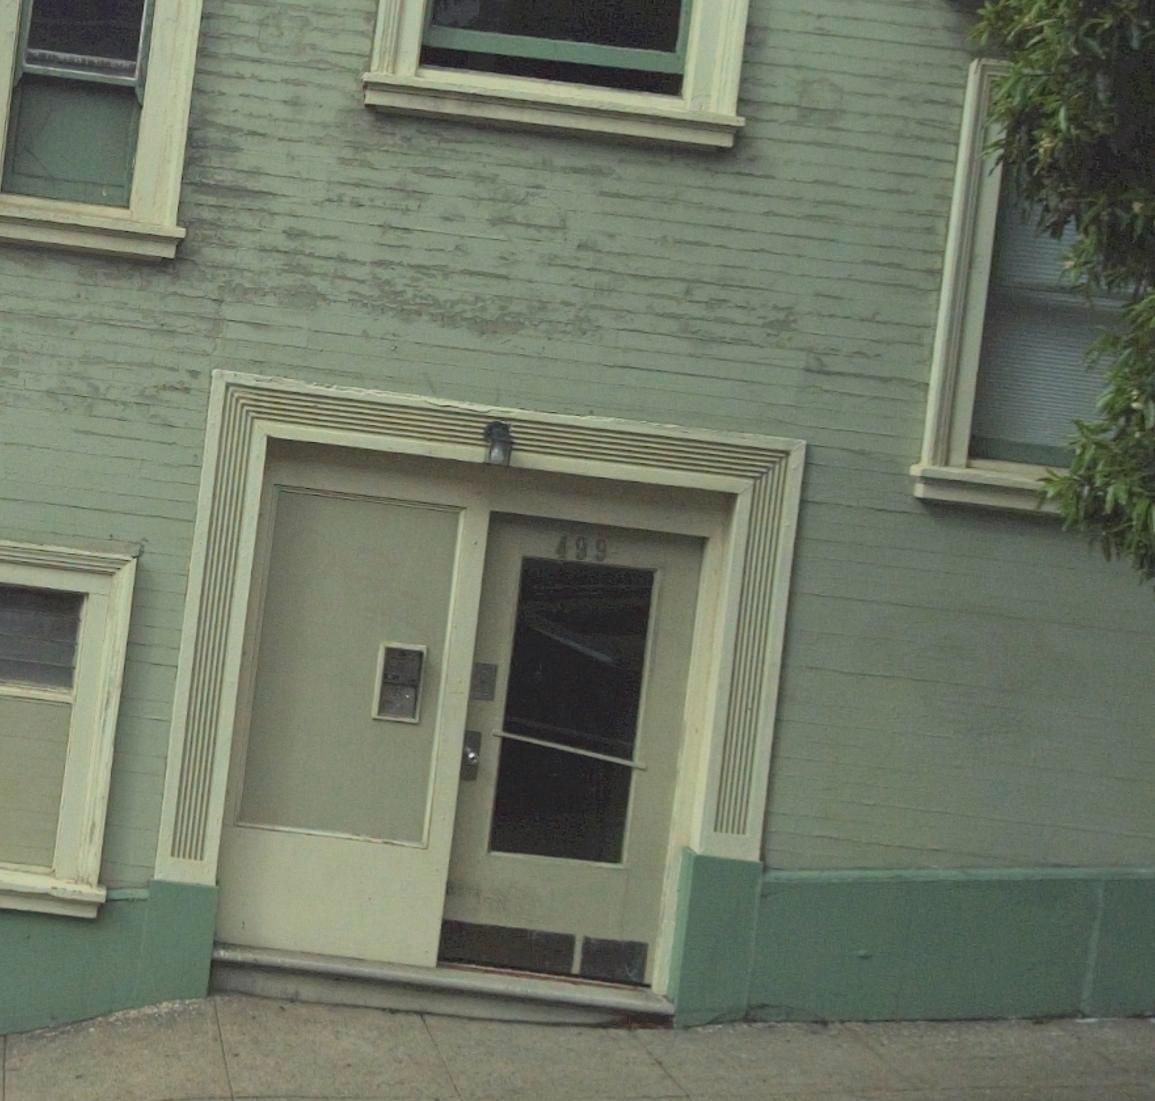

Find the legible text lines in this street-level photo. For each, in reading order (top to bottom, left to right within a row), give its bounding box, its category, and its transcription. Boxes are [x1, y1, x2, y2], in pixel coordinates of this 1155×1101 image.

[550, 533, 611, 564] StreetNumber: 499